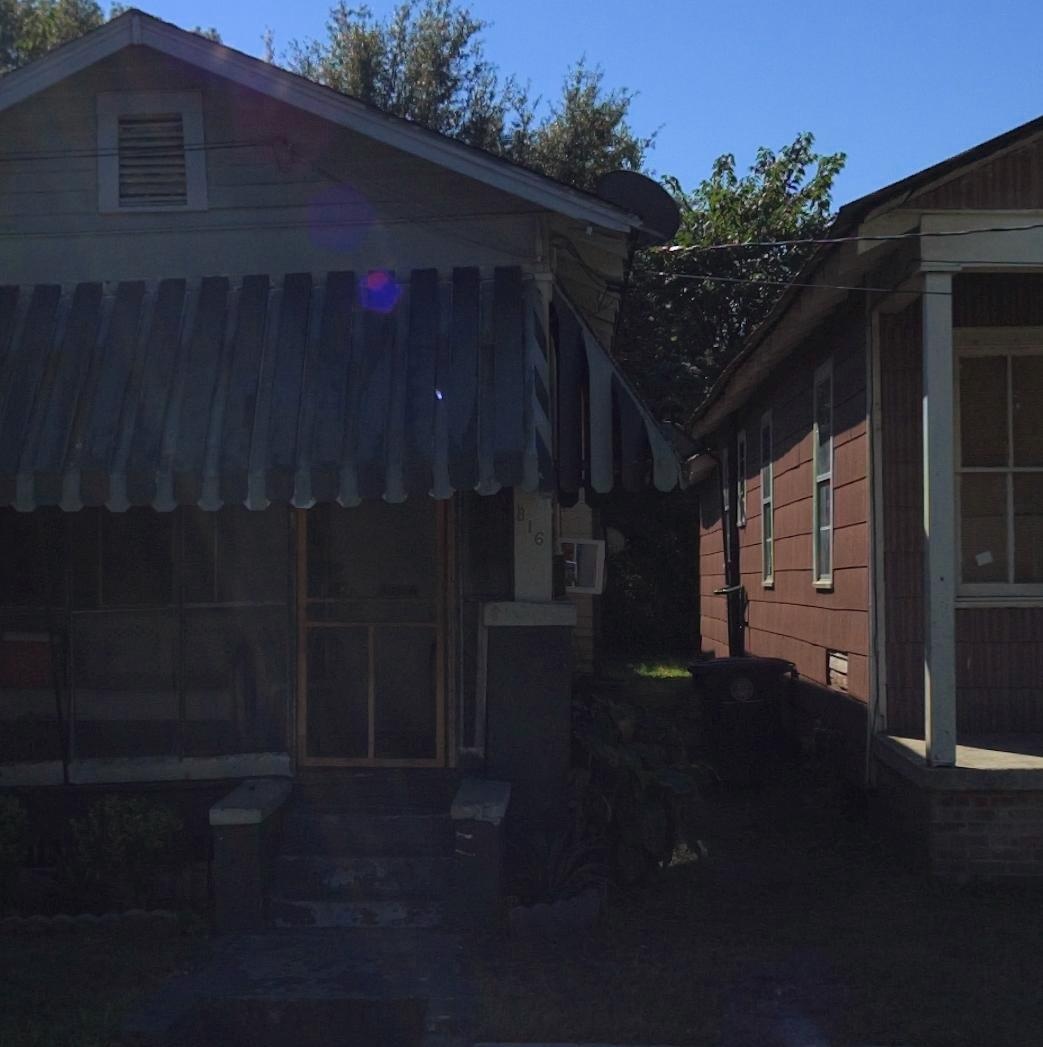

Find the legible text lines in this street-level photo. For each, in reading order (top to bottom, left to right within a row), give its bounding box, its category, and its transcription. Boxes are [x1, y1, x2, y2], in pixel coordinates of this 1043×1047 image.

[515, 504, 548, 551] StreetNumber: 816